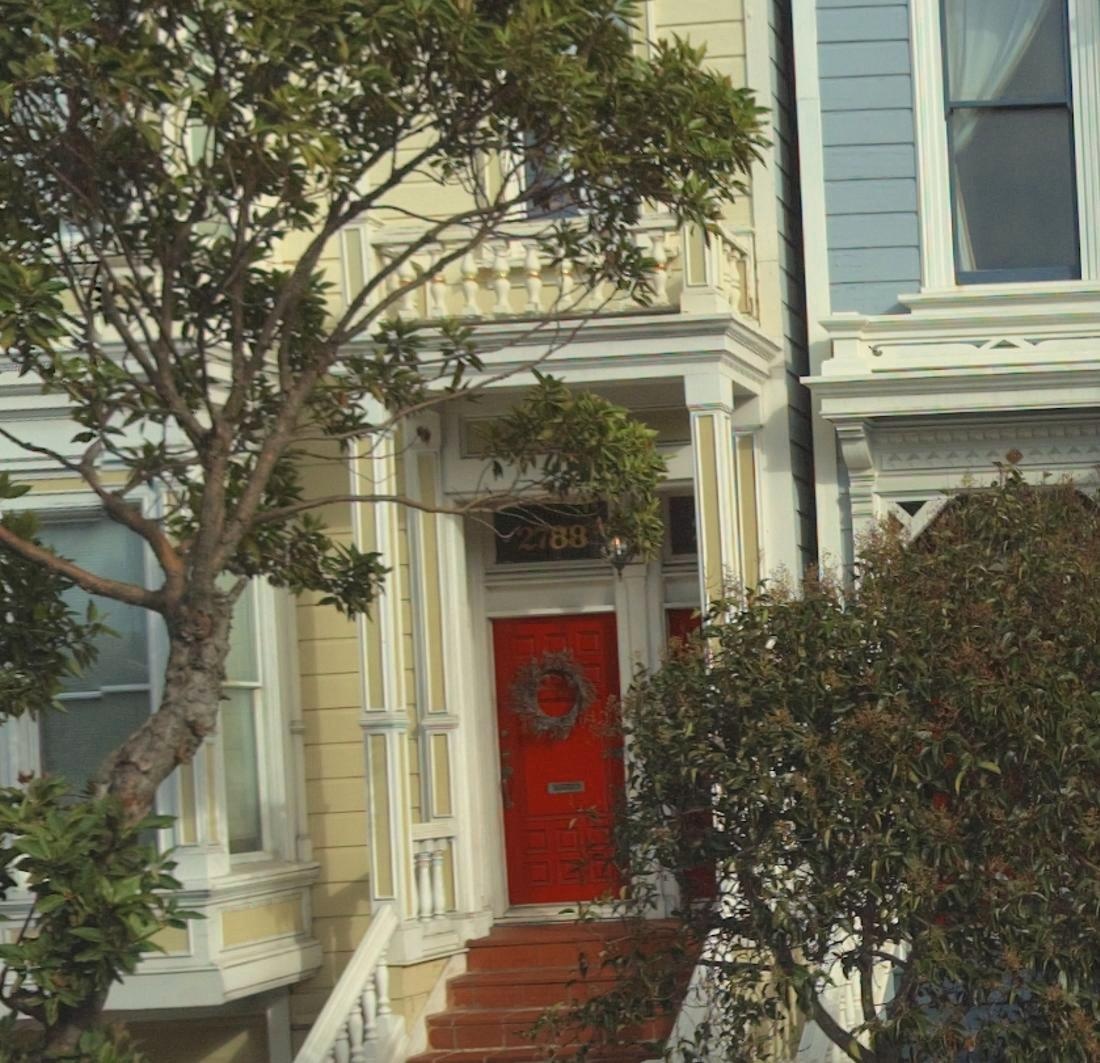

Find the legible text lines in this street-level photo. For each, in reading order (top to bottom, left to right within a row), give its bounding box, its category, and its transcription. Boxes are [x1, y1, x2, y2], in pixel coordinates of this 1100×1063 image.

[514, 522, 592, 554] StreetNumber: 2788